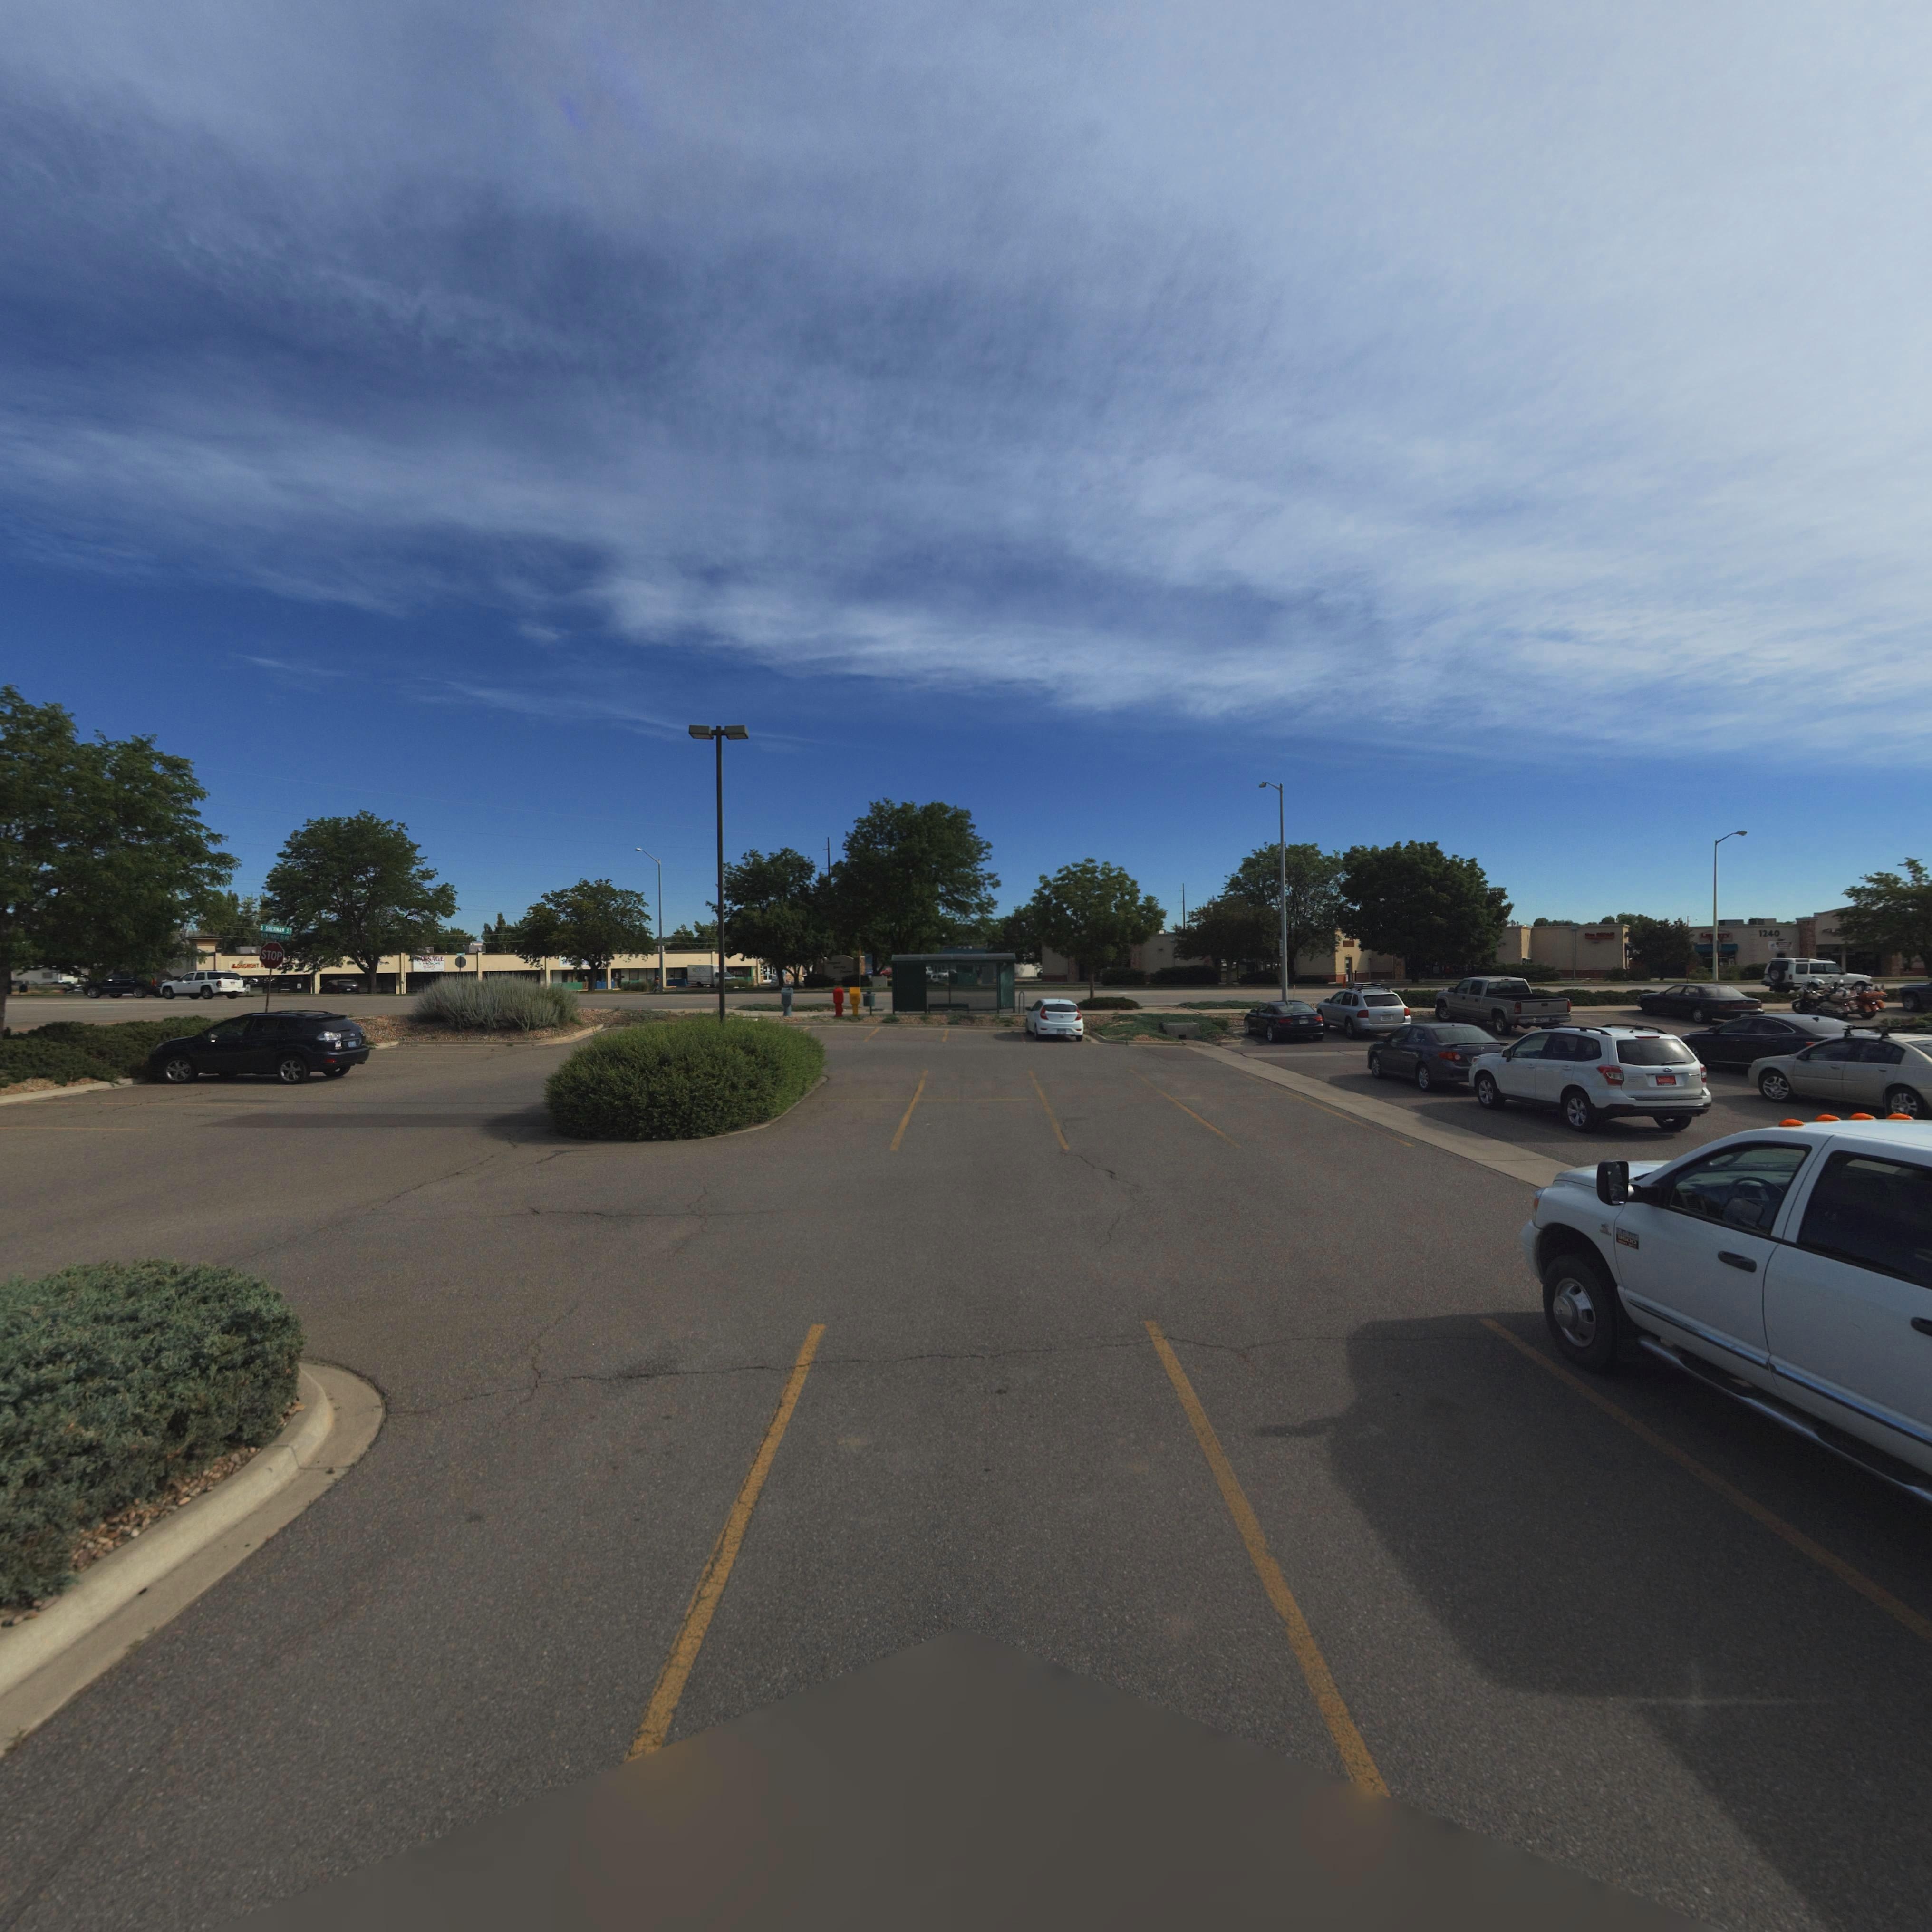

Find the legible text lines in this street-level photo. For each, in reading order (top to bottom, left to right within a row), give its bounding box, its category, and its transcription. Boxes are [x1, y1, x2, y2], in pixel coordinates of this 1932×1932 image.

[260, 925, 292, 933] StreetName: S SH**MAN S*
[261, 932, 290, 940] BusinessName: *E* P**** **VD
[1701, 933, 1730, 938] BusinessName: L****TY
[1758, 929, 1780, 937] StreetNumber: 1240
[1708, 937, 1723, 943] BusinessName: T**
[420, 955, 444, 961] BusinessName: **SAGE
[230, 963, 259, 969] BusinessName: LONGMONT